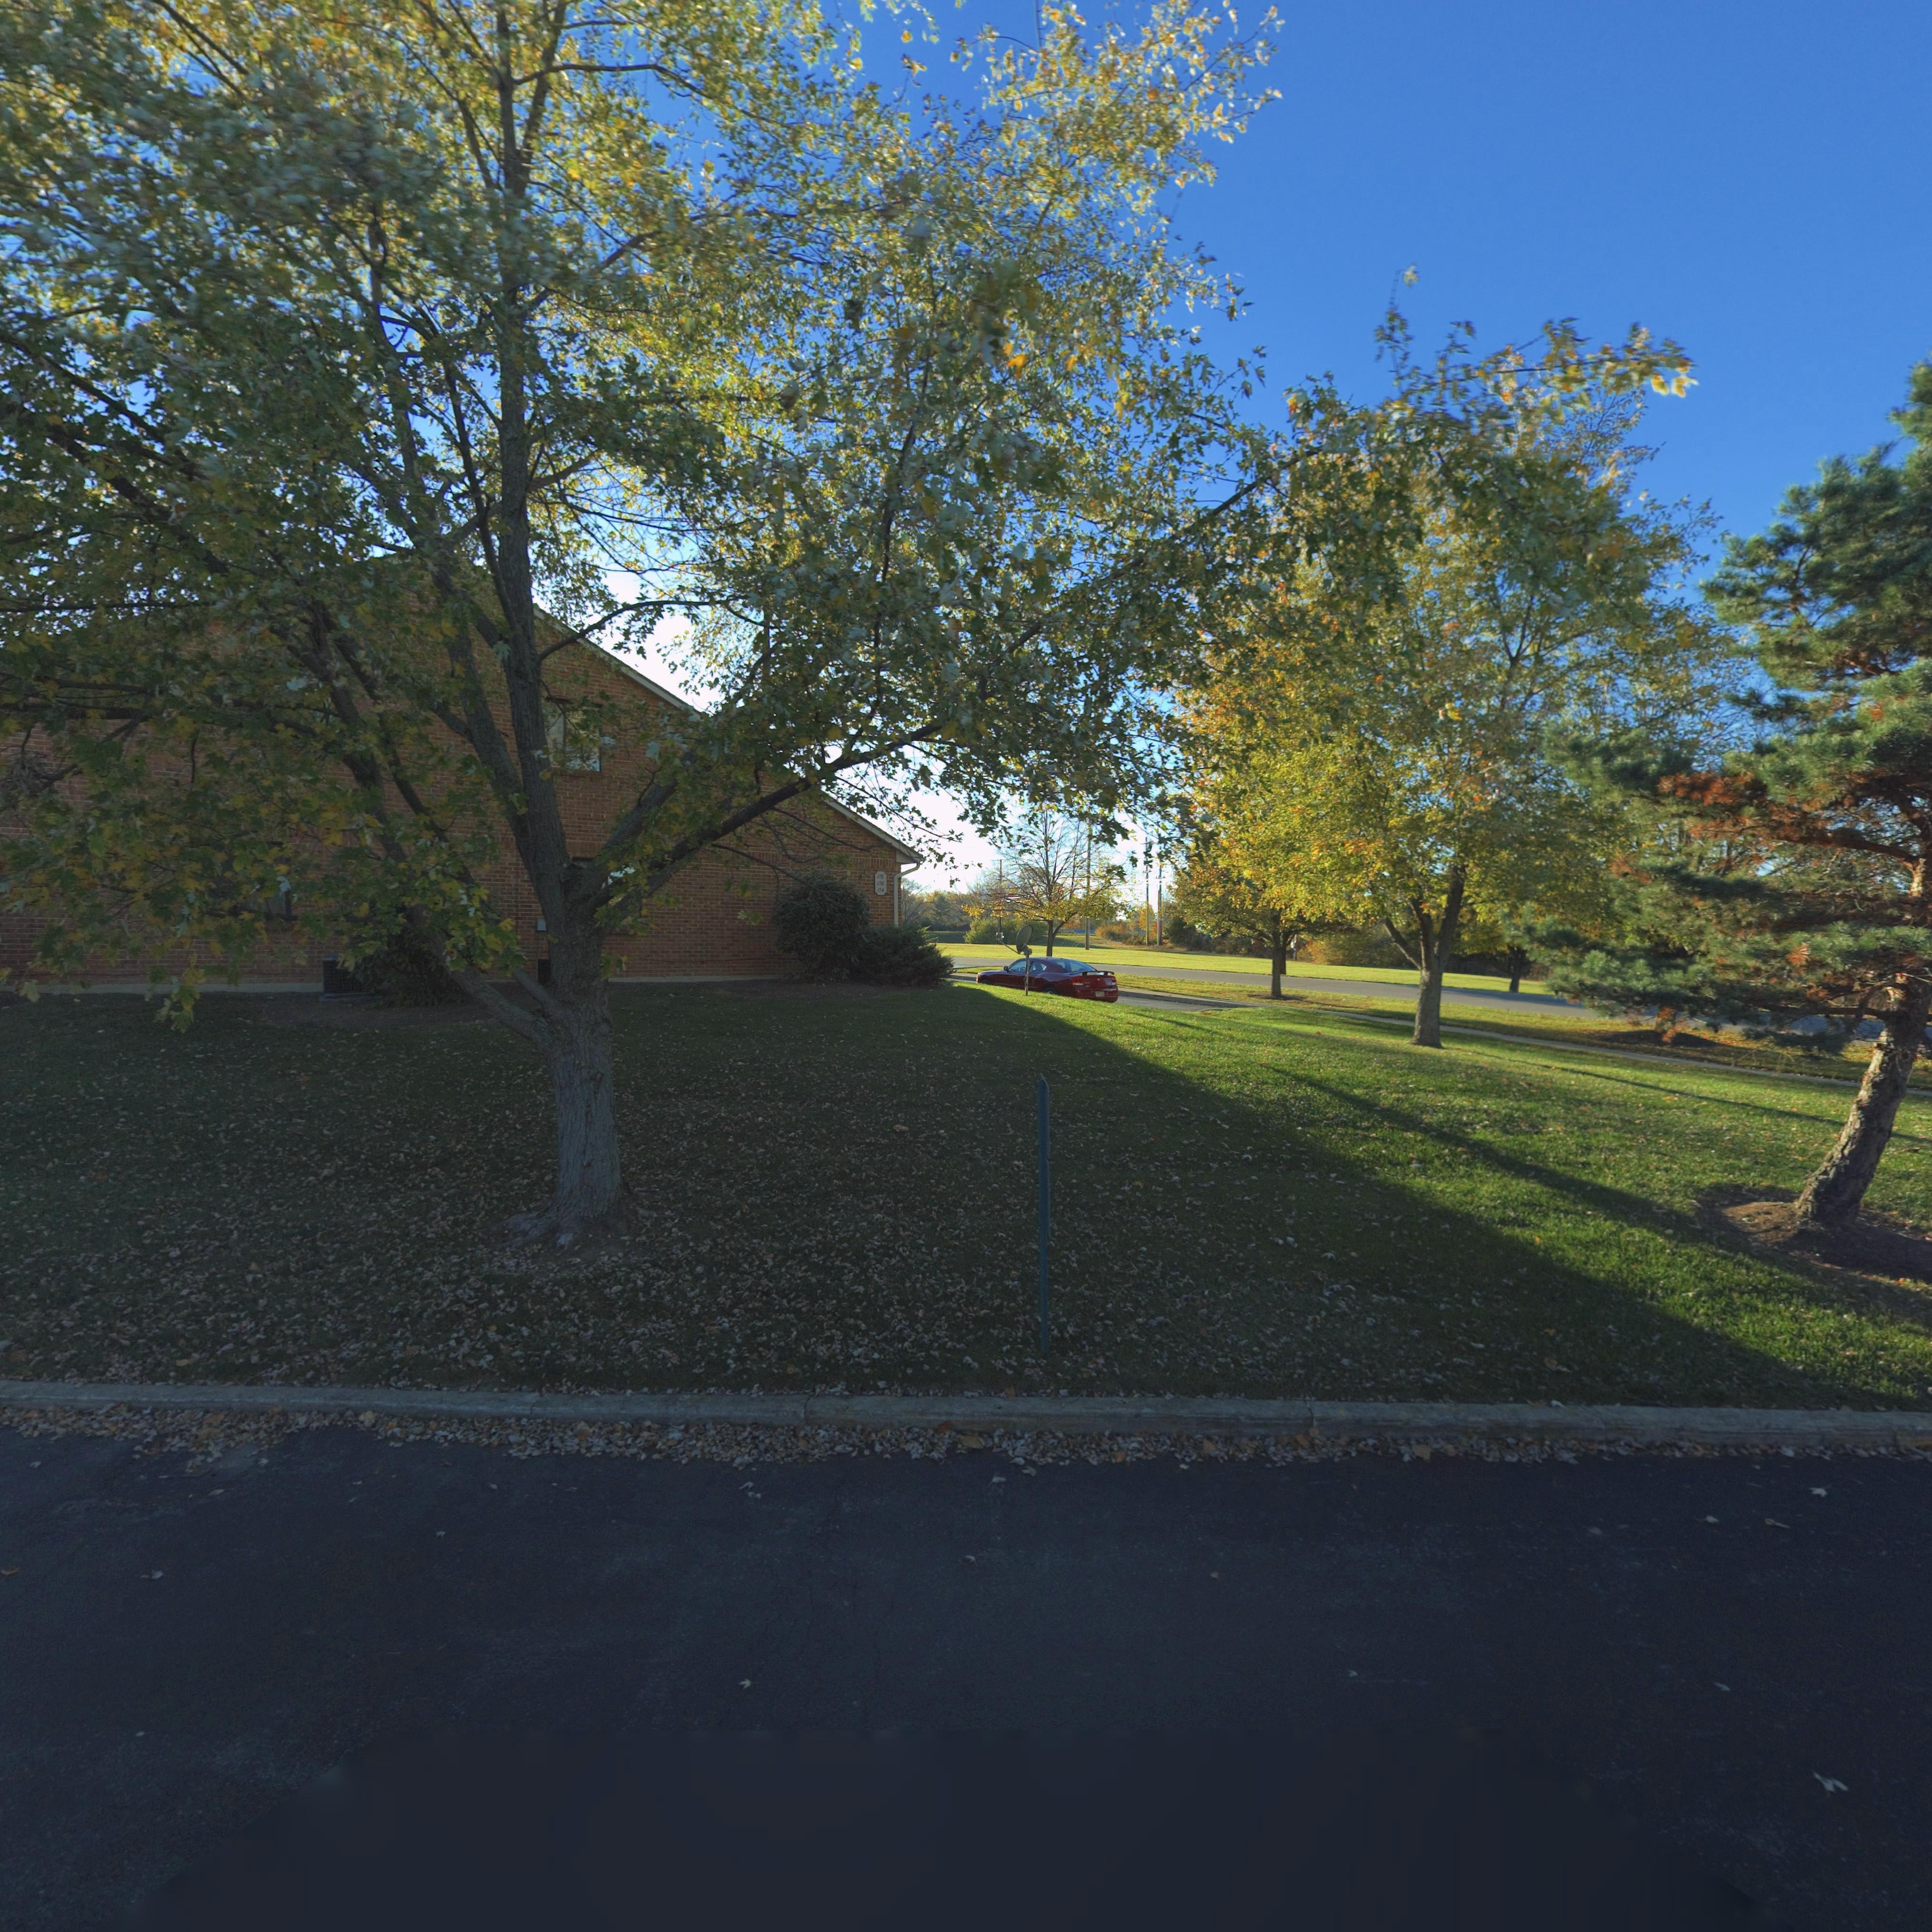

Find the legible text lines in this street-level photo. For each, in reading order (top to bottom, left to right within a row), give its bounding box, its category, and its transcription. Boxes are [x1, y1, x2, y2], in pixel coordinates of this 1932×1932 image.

[876, 873, 885, 880] StreetNumber: 17*
[877, 880, 885, 887] StreetNumber: 176
[876, 887, 885, 893] StreetNumber: 174